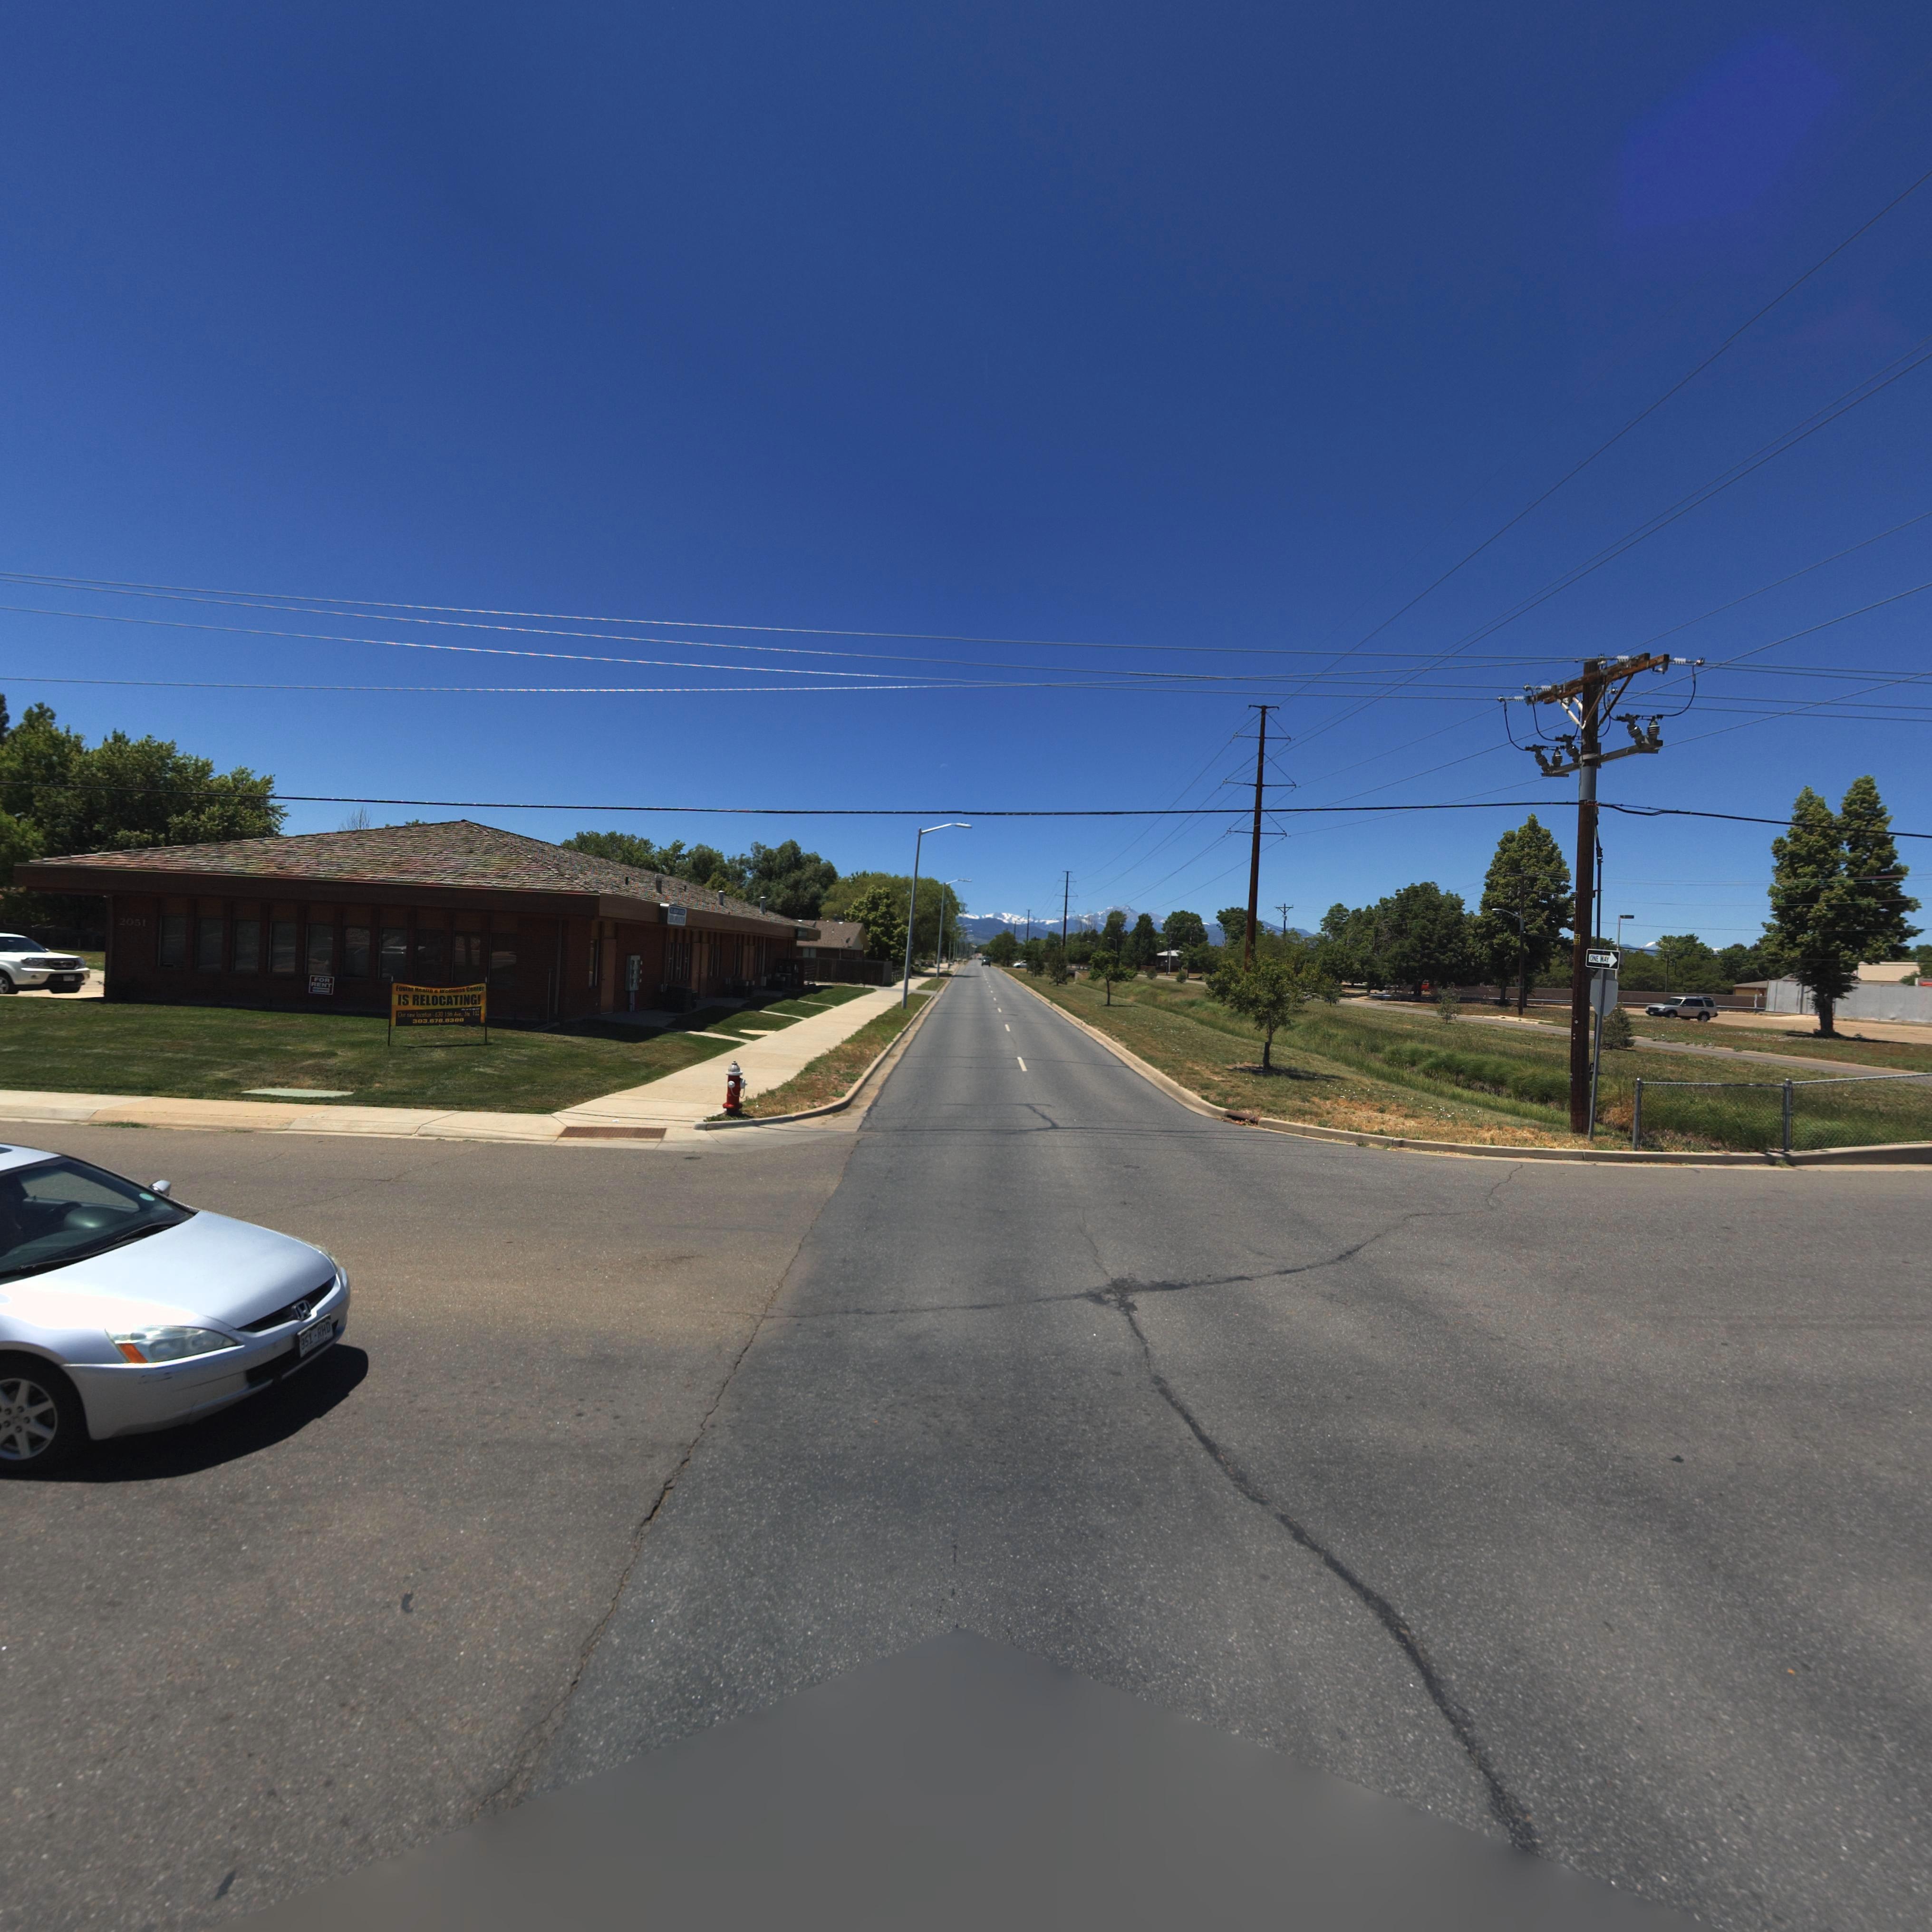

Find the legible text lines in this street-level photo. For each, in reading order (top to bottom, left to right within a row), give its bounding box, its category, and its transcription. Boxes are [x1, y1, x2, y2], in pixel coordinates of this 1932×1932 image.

[118, 917, 146, 927] StreetNumber: 2051